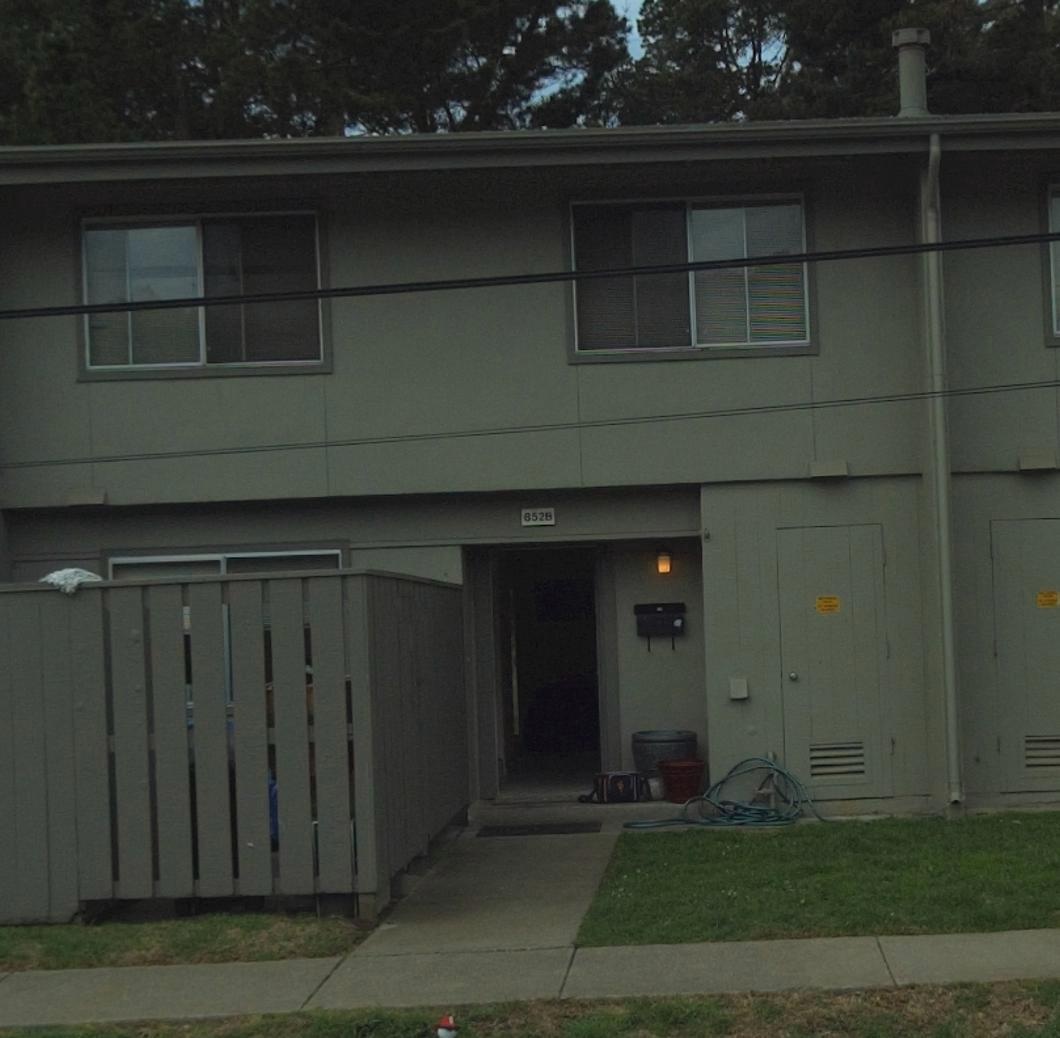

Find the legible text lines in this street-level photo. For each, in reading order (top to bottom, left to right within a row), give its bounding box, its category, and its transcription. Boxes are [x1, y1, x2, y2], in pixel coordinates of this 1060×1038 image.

[523, 511, 552, 523] StreetNumber: 852B